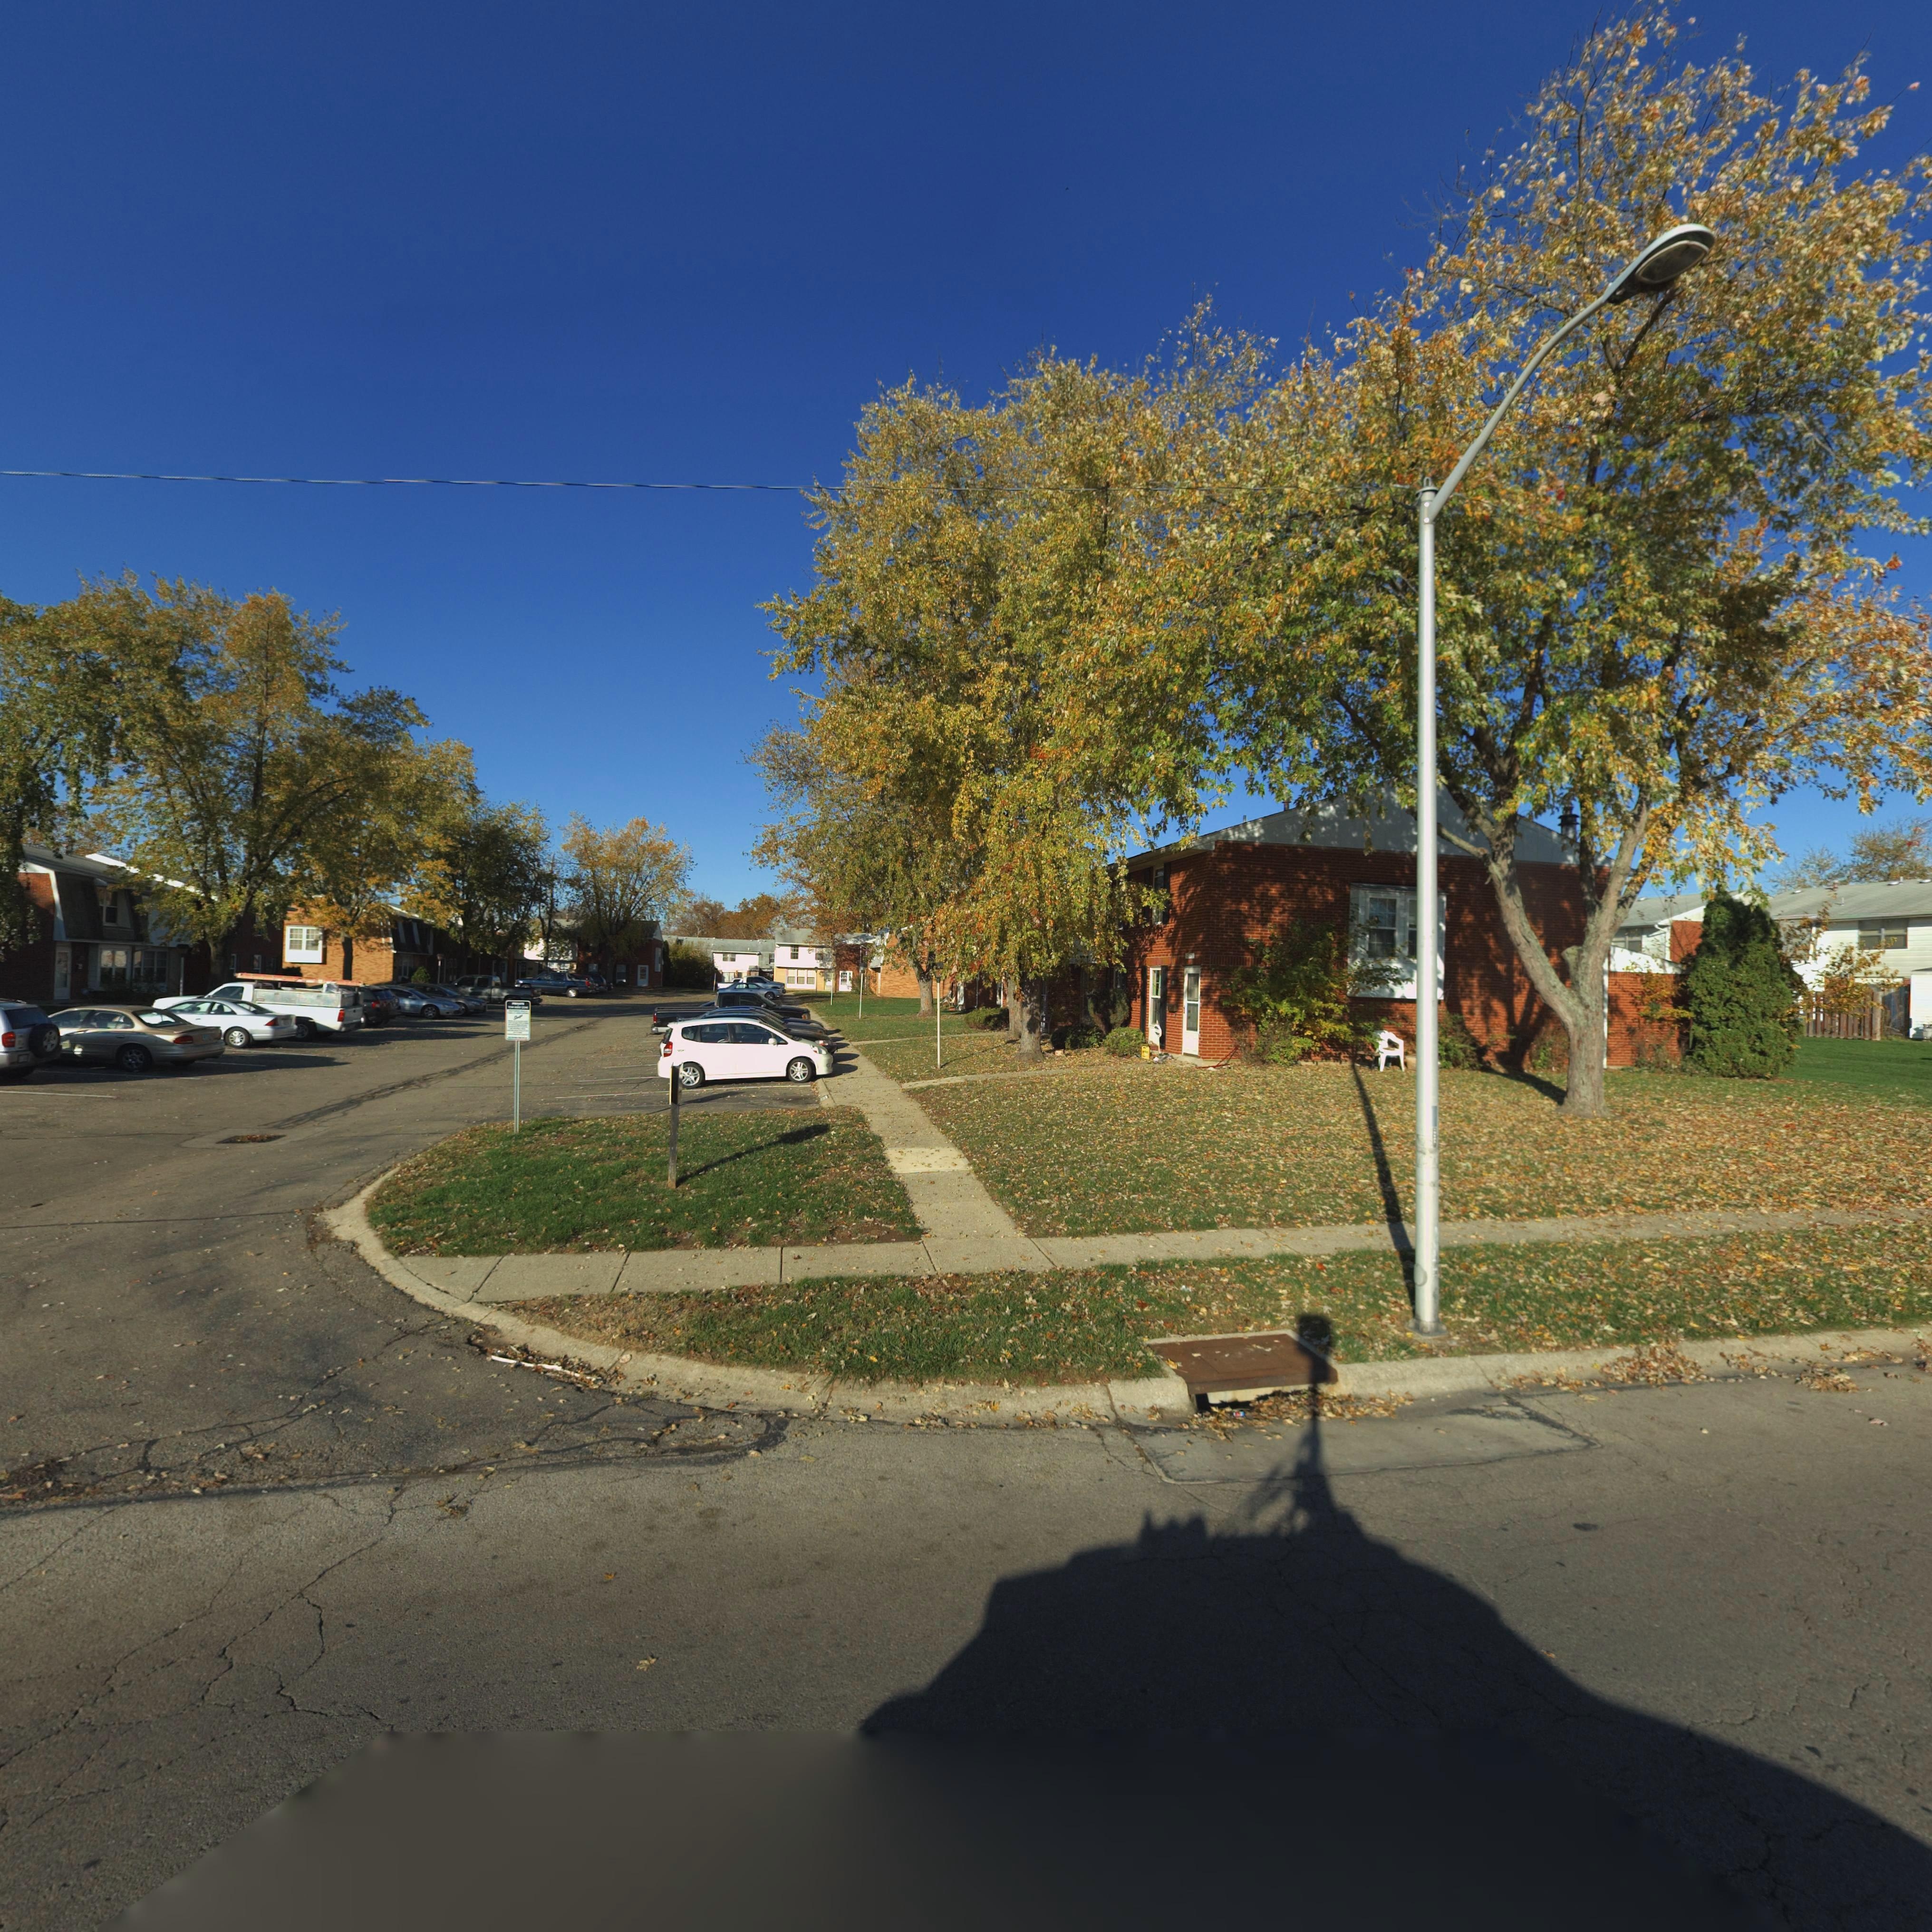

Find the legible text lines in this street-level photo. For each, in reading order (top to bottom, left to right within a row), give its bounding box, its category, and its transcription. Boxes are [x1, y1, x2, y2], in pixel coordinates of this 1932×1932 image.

[1186, 953, 1194, 958] StreetNumber: 7*75